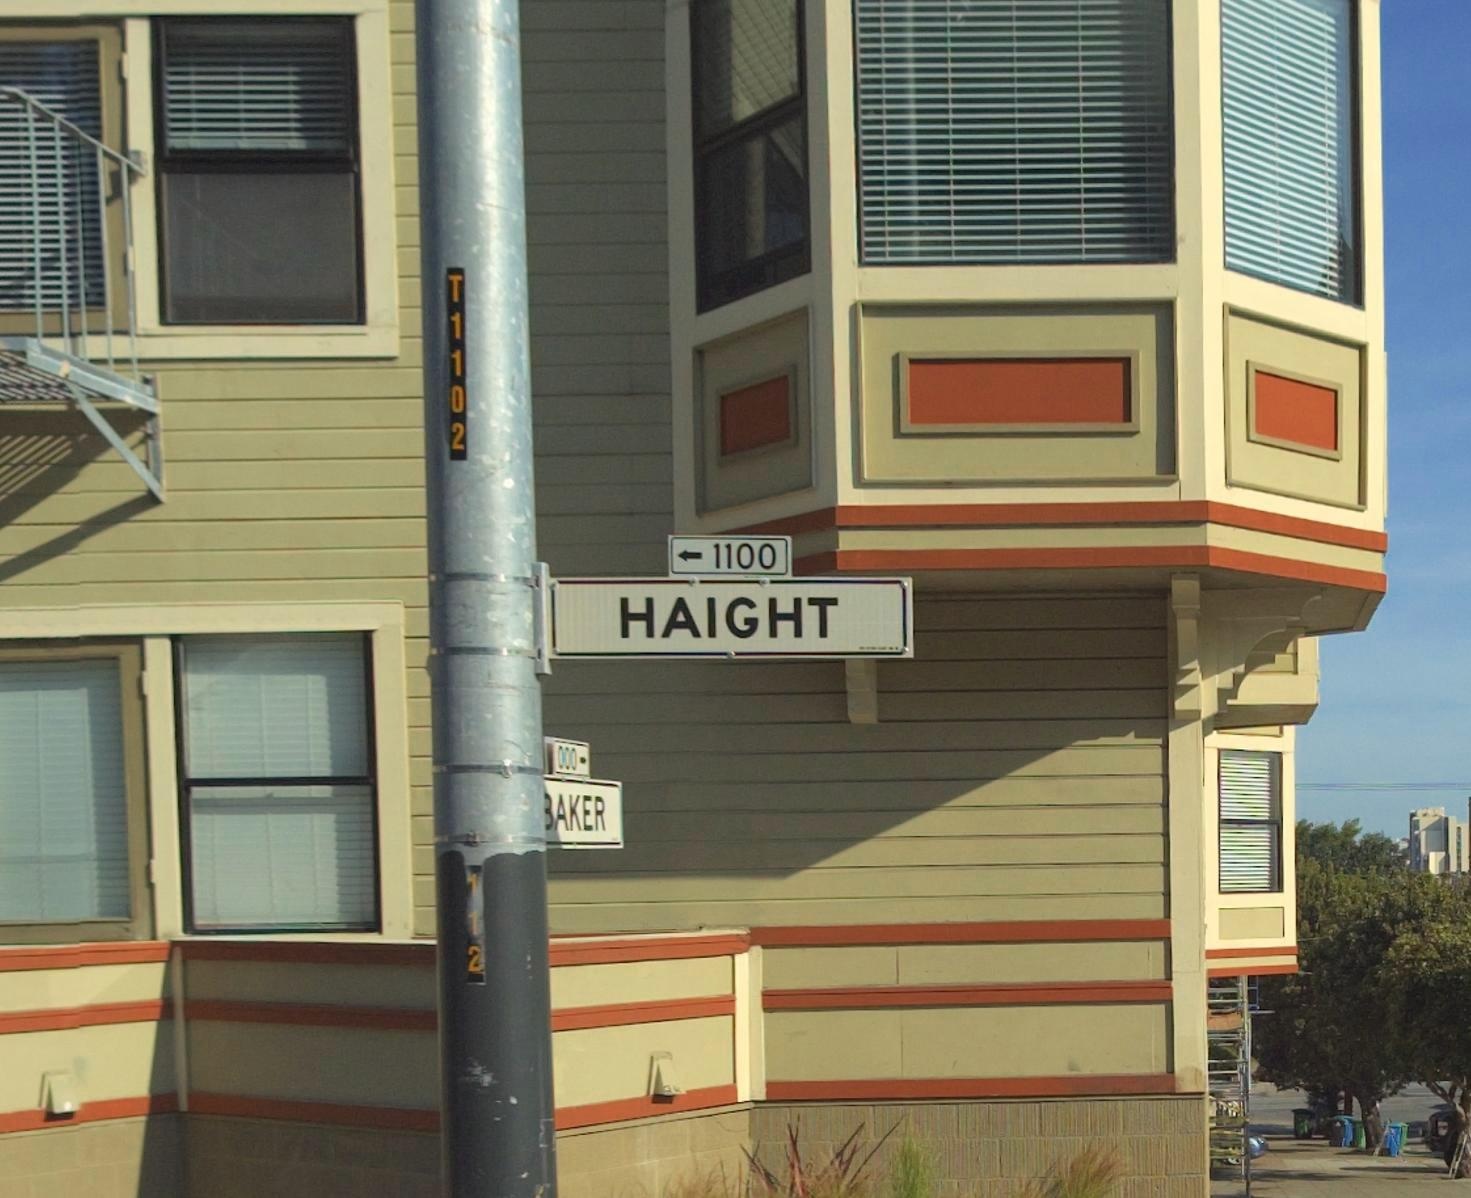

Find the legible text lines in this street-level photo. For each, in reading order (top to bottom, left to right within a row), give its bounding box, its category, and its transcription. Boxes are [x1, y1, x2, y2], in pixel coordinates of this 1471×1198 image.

[445, 265, 469, 458] None: T1102
[670, 536, 785, 574] StreetNumberRange: <-1100
[617, 590, 842, 643] StreetName: HAIGHT
[554, 741, 589, 772] StreetNumberRange: 000->
[541, 790, 608, 832] StreetName: *AKER
[465, 868, 486, 982] None: 112